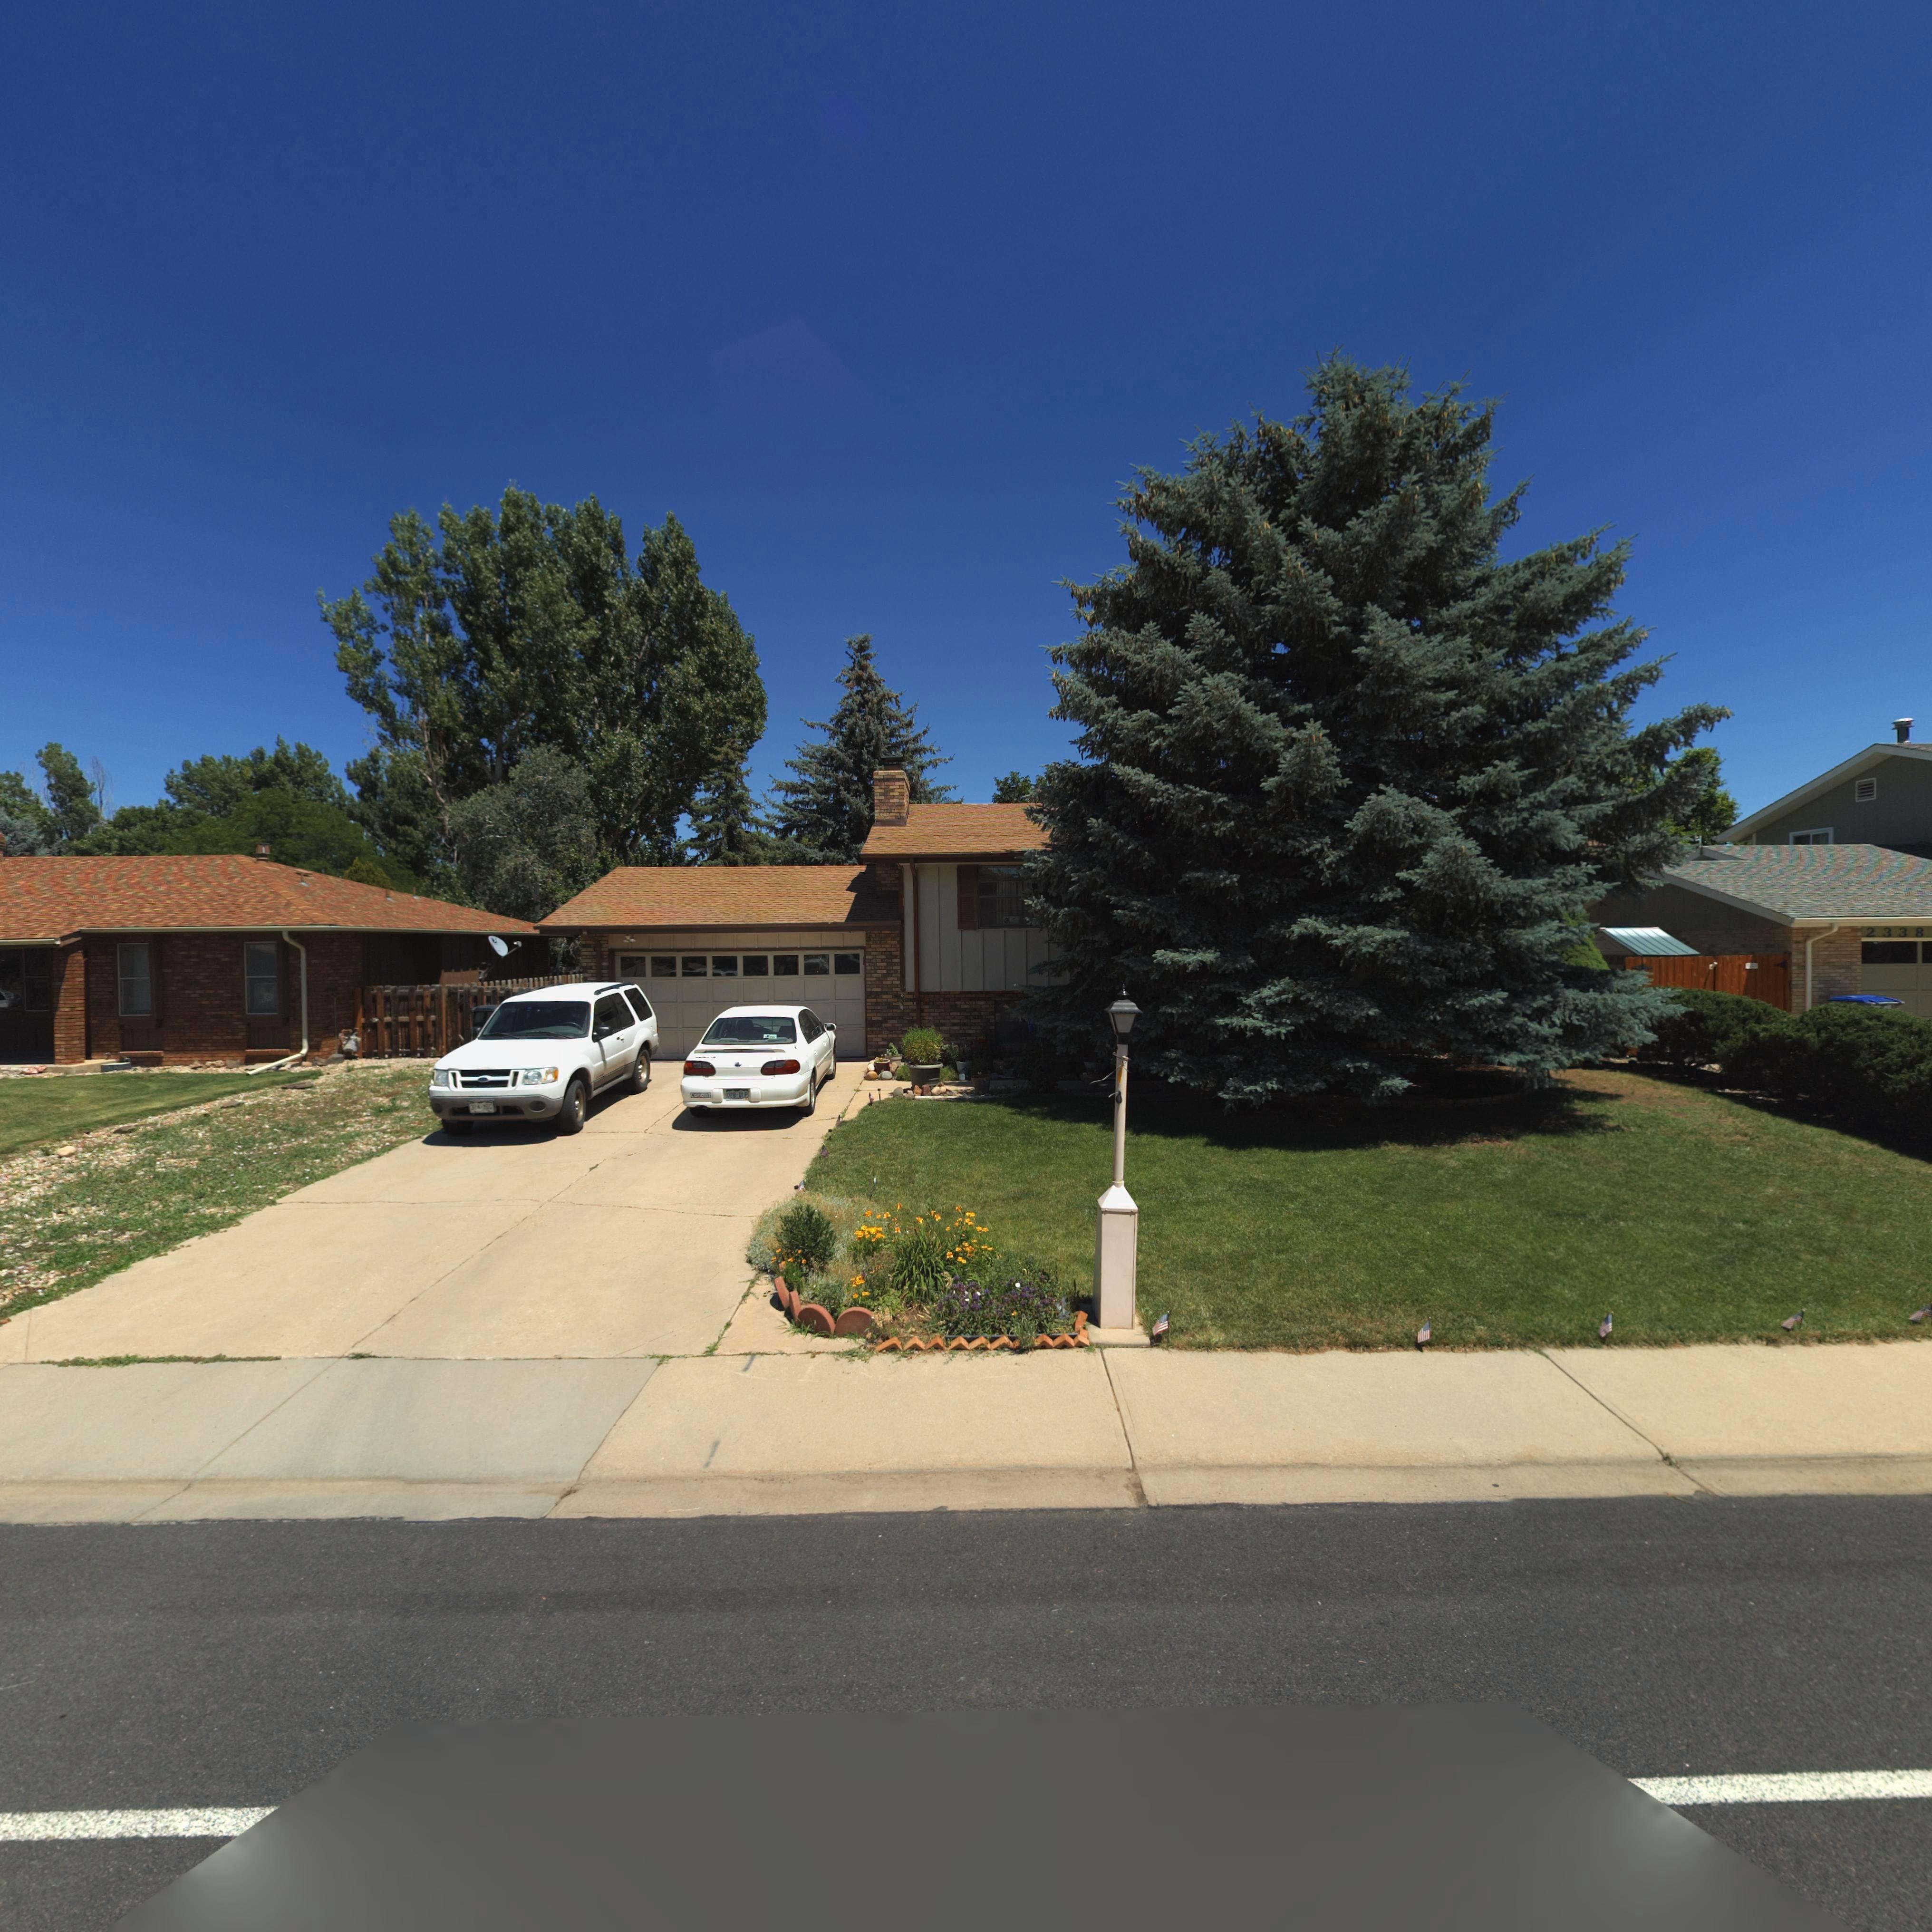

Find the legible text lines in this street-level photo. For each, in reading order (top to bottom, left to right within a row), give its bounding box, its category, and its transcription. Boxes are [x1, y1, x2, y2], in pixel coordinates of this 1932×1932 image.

[1866, 927, 1923, 937] StreetNumber: 2338